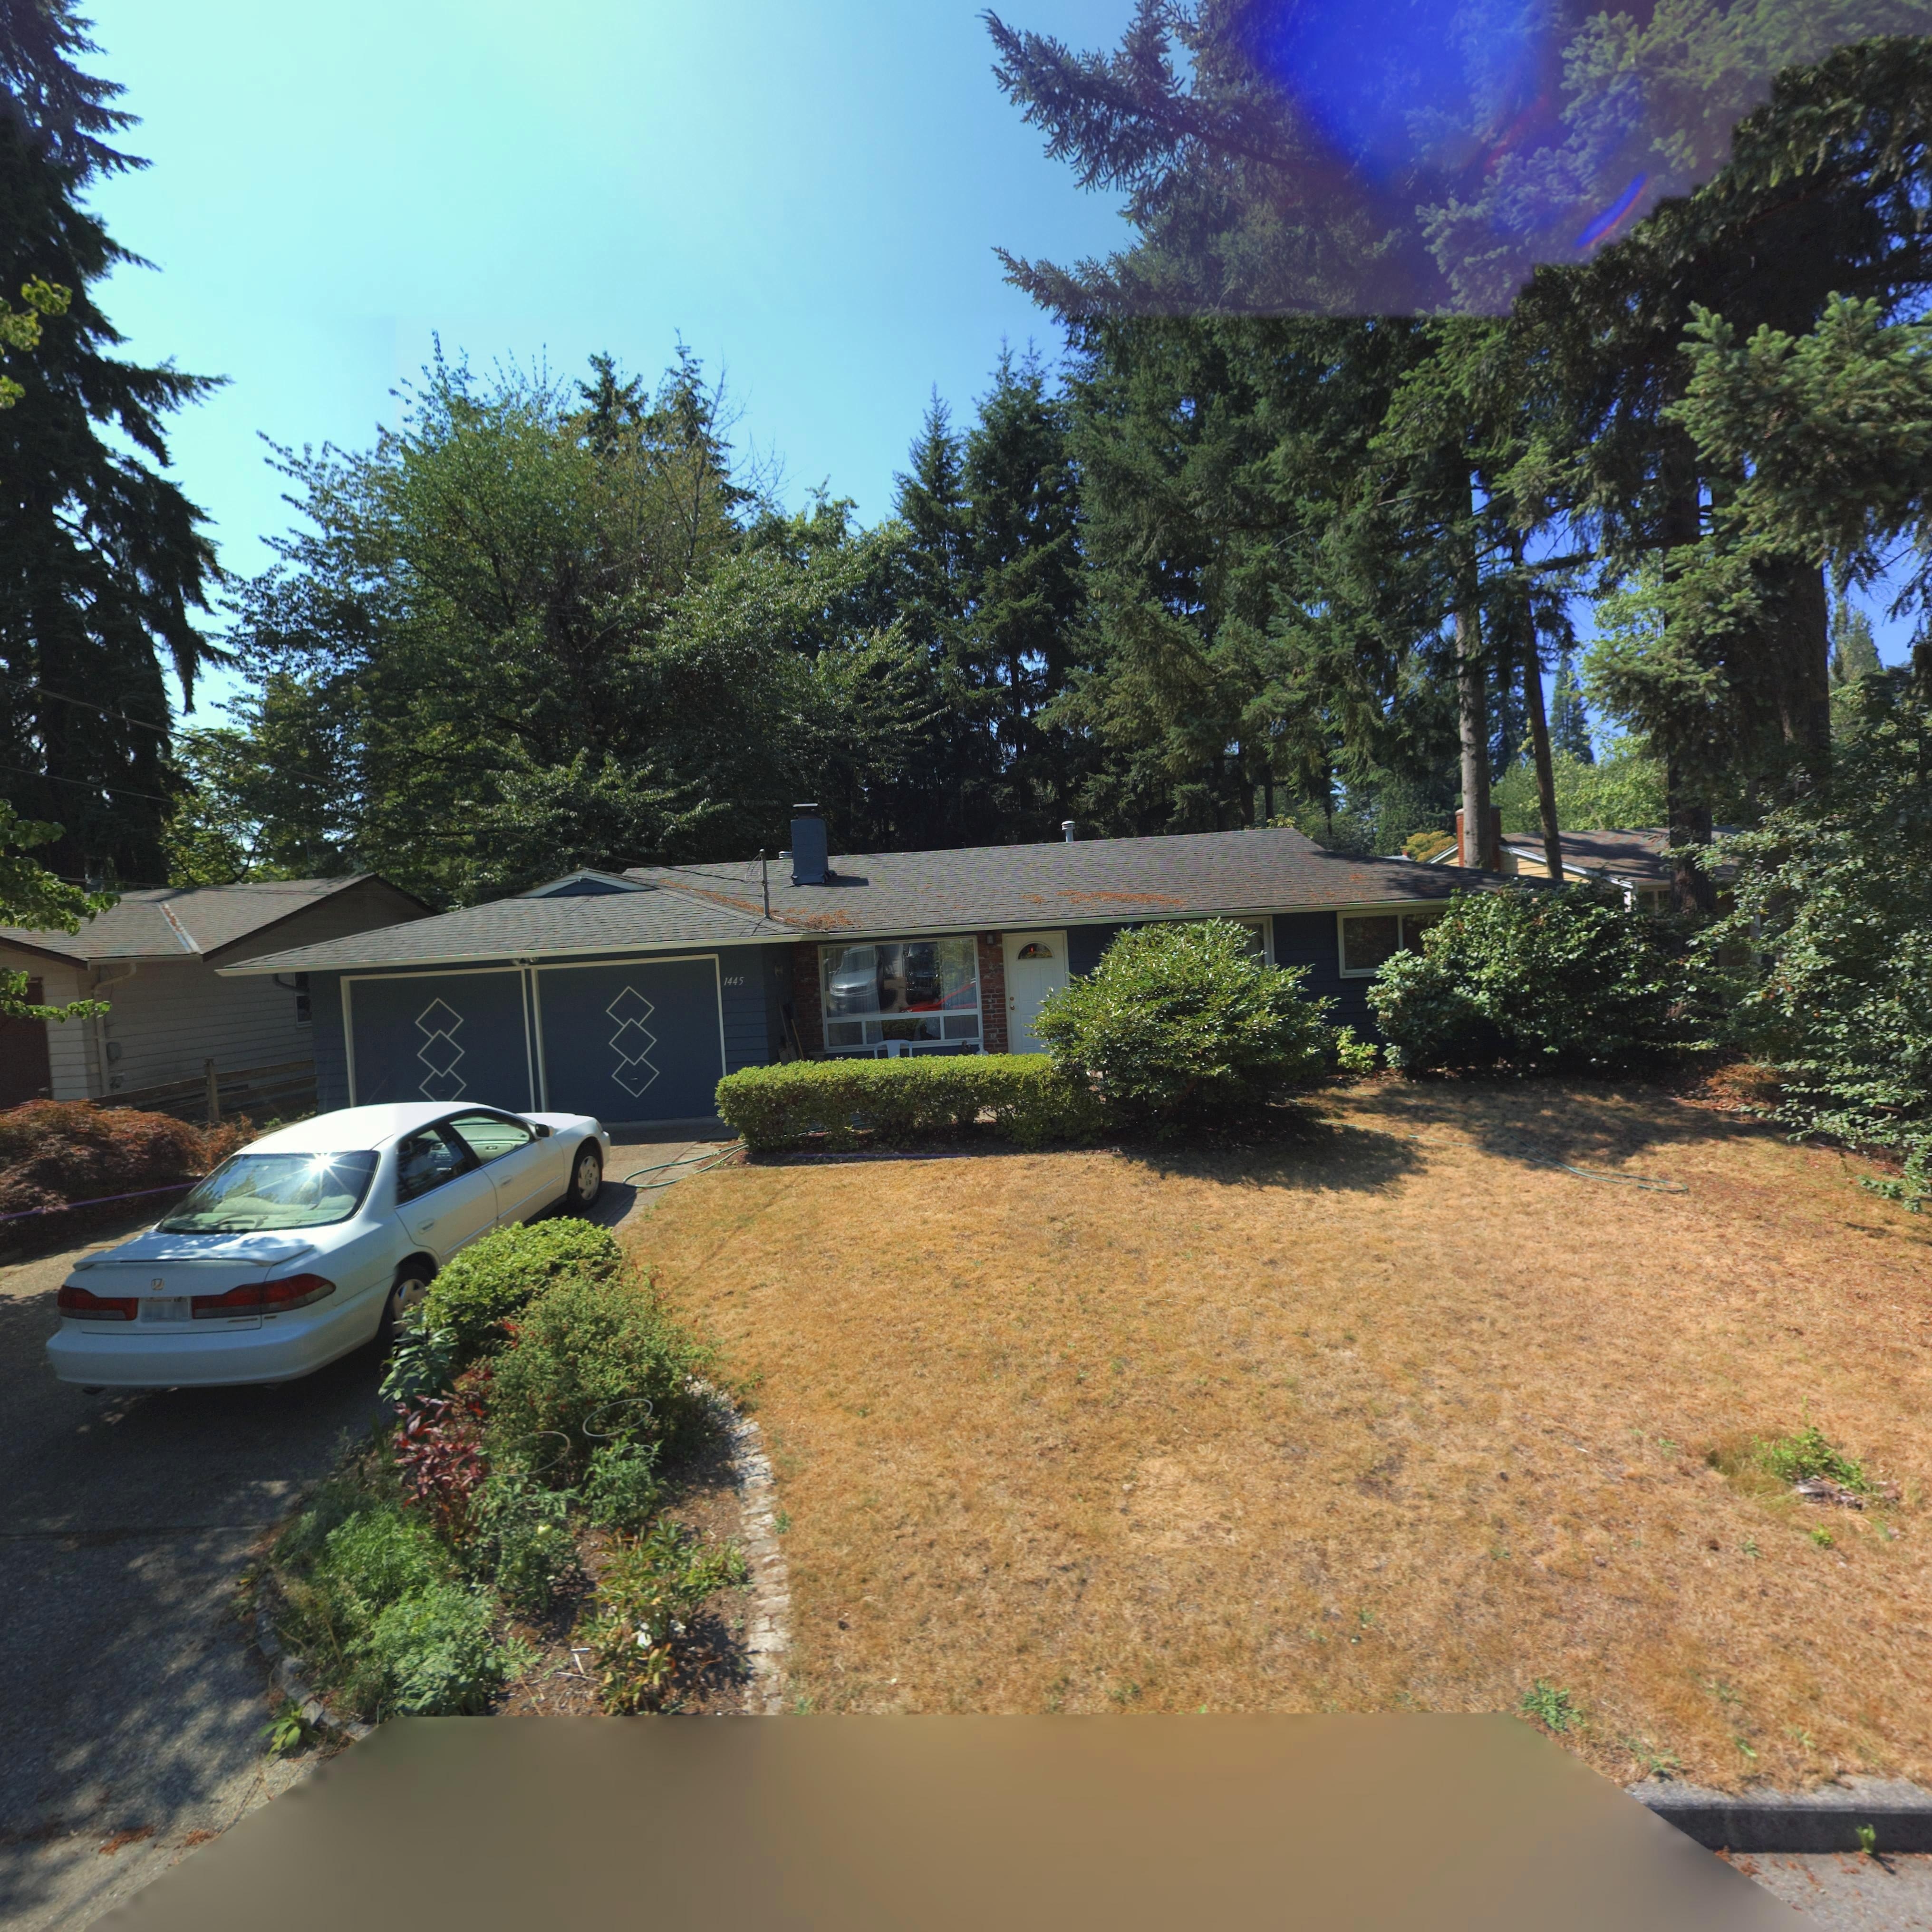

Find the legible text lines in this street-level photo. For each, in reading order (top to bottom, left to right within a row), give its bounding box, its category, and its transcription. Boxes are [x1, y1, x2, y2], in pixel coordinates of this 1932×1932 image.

[723, 976, 745, 986] StreetNumber: 1445